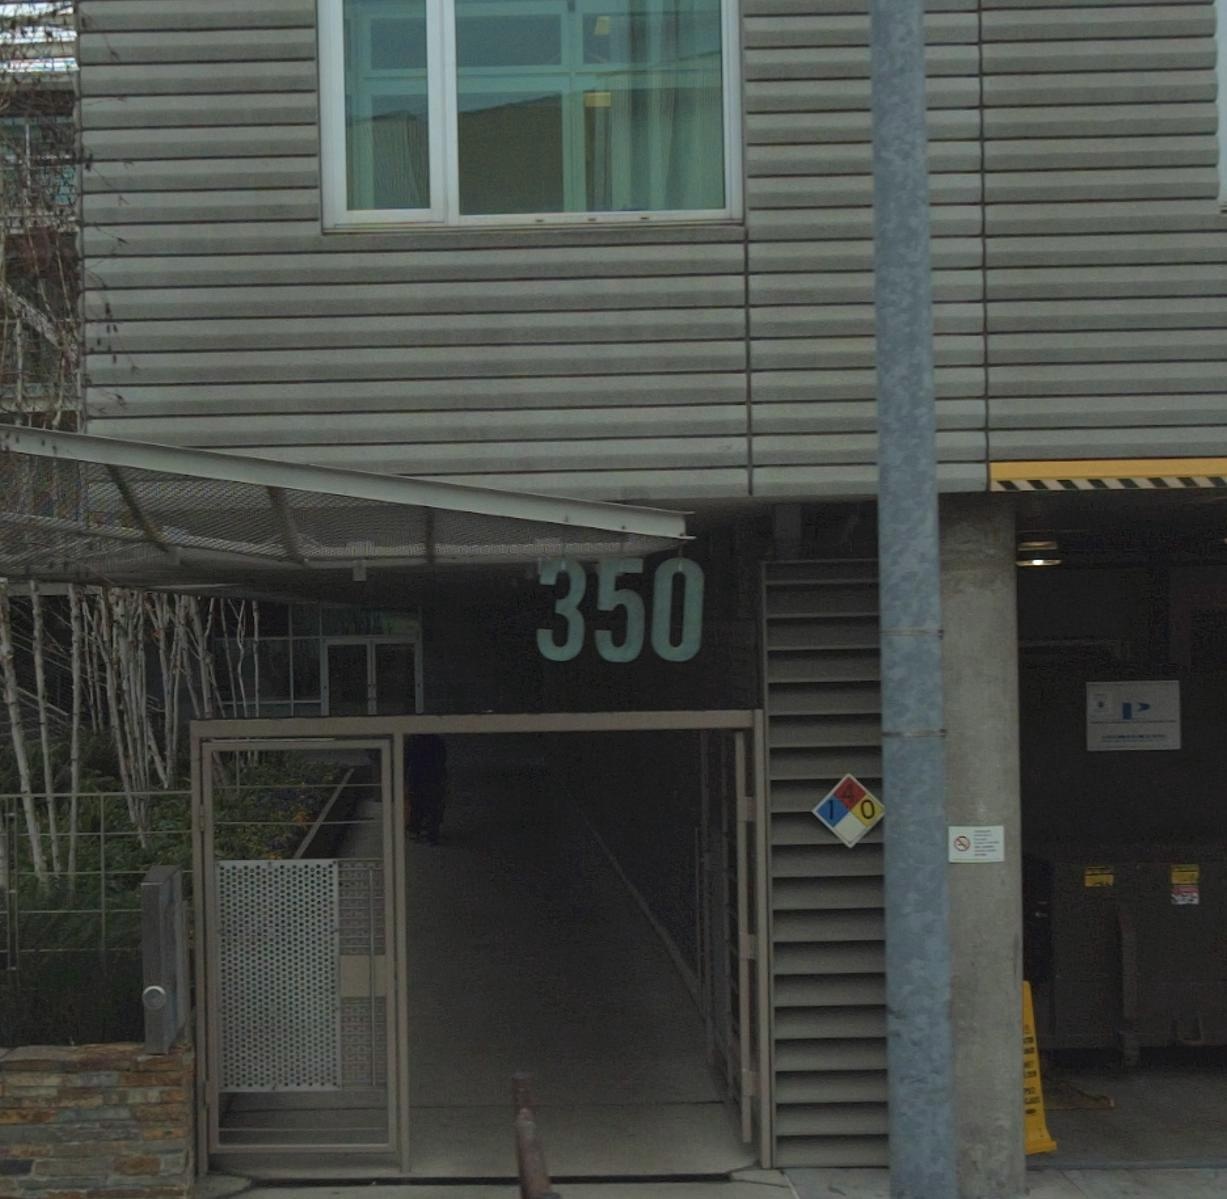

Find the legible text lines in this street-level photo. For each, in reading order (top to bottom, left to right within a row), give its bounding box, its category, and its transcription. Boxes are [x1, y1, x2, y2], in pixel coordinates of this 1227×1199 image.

[532, 552, 710, 666] StreetNumber: 350
[1120, 700, 1151, 721] None: P
[839, 783, 856, 804] None: 4
[824, 797, 836, 822] None: 1
[857, 797, 875, 819] None: 0